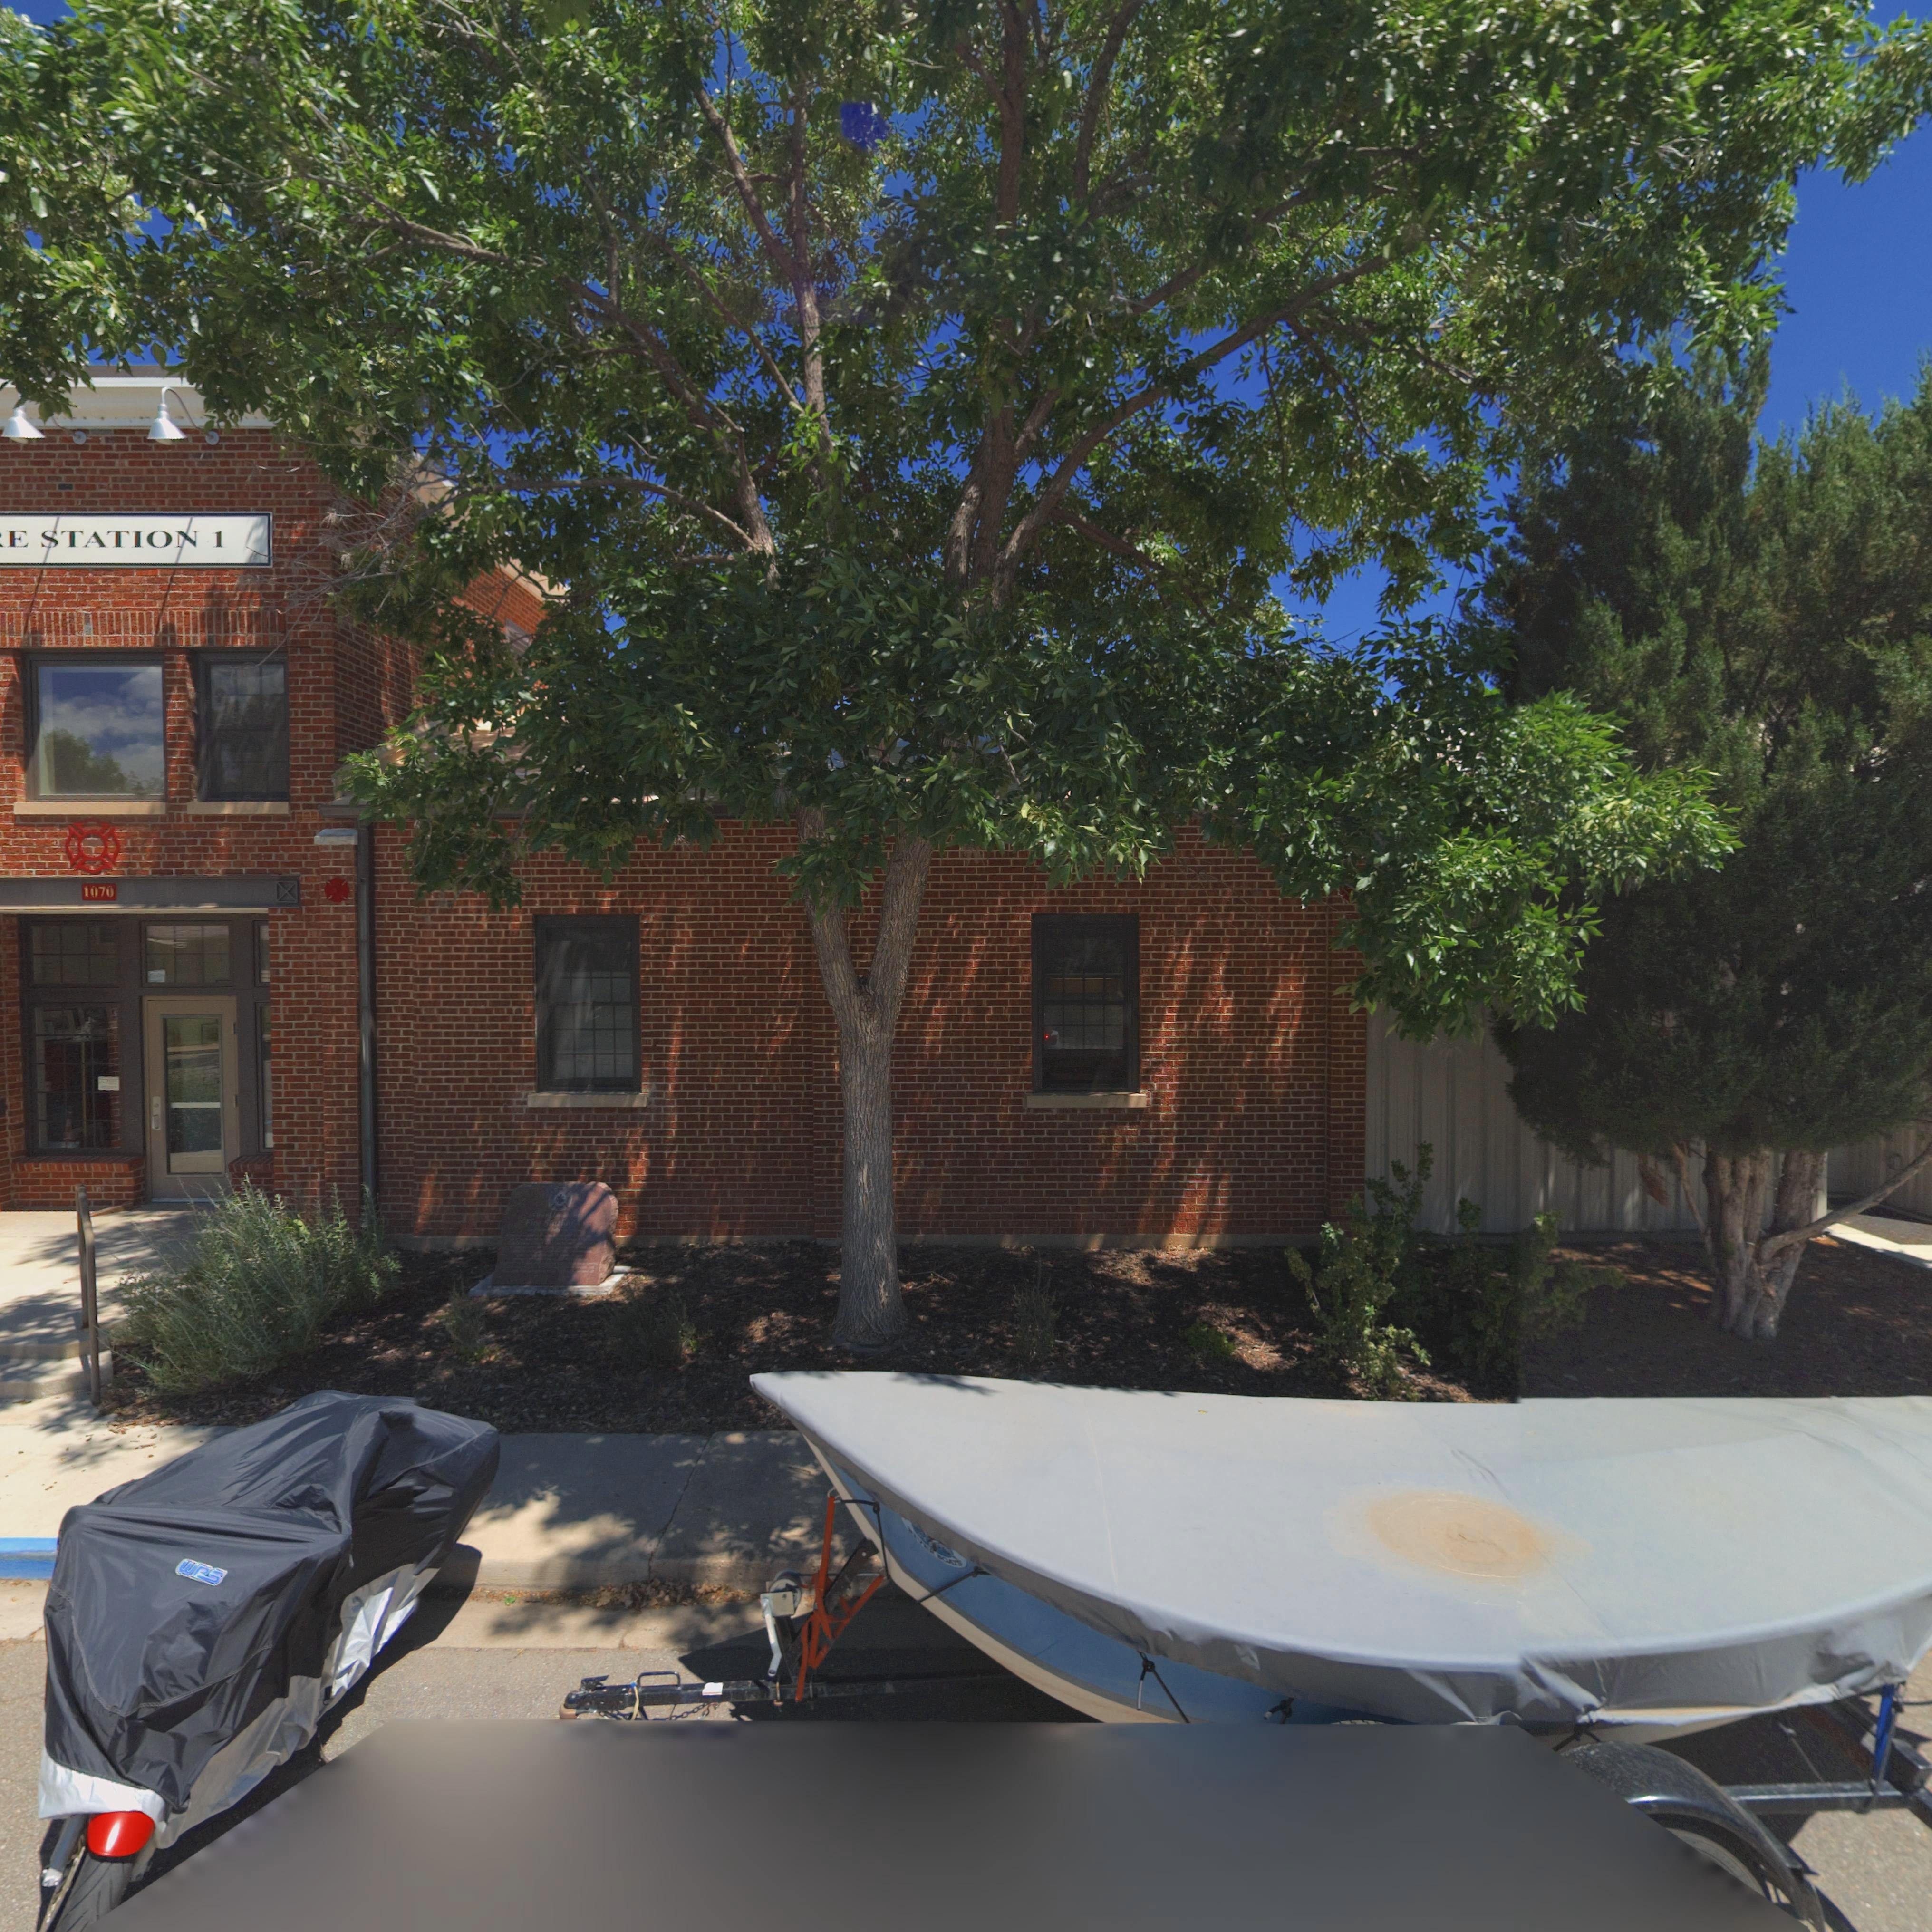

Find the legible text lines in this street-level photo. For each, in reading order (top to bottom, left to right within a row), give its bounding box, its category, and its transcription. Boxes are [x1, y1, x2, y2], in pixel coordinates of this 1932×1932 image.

[5, 529, 225, 548] BusinessName: E STATION 1
[83, 885, 115, 898] StreetNumber: 1070